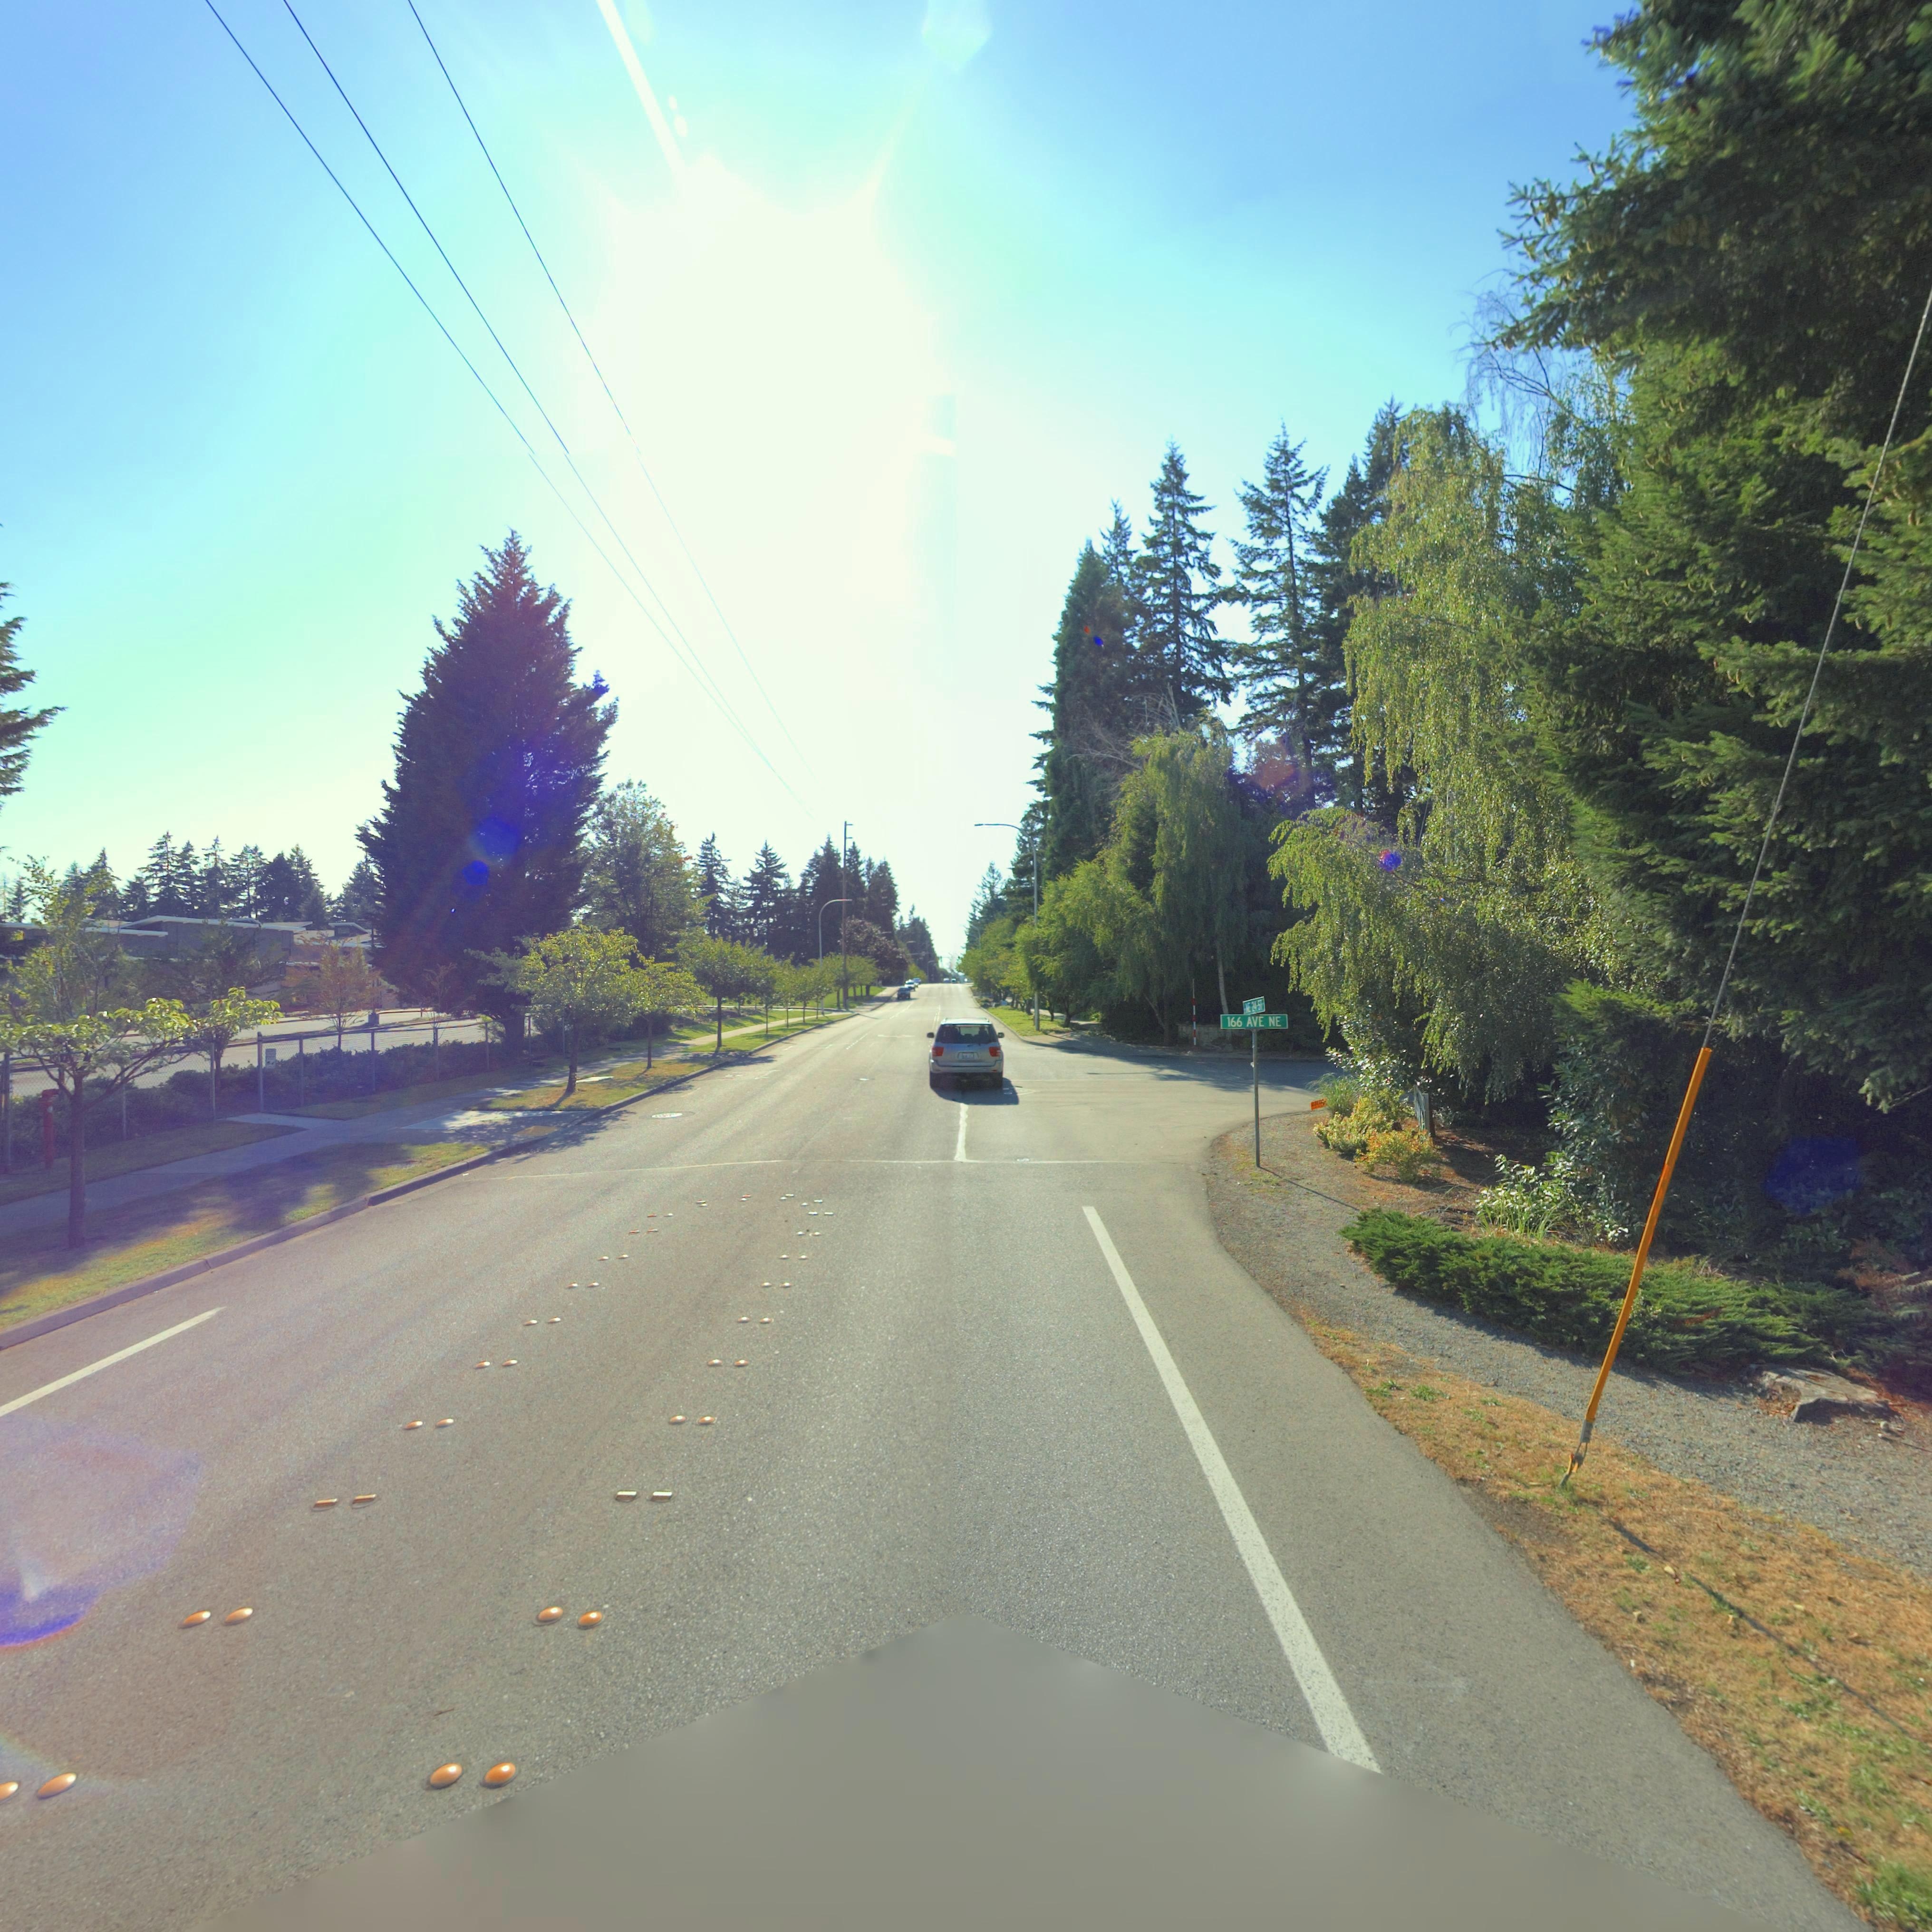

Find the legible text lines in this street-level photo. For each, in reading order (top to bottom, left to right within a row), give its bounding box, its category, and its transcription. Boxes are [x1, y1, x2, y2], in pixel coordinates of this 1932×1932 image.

[1227, 1015, 1282, 1027] StreetName: 166 AVE NE